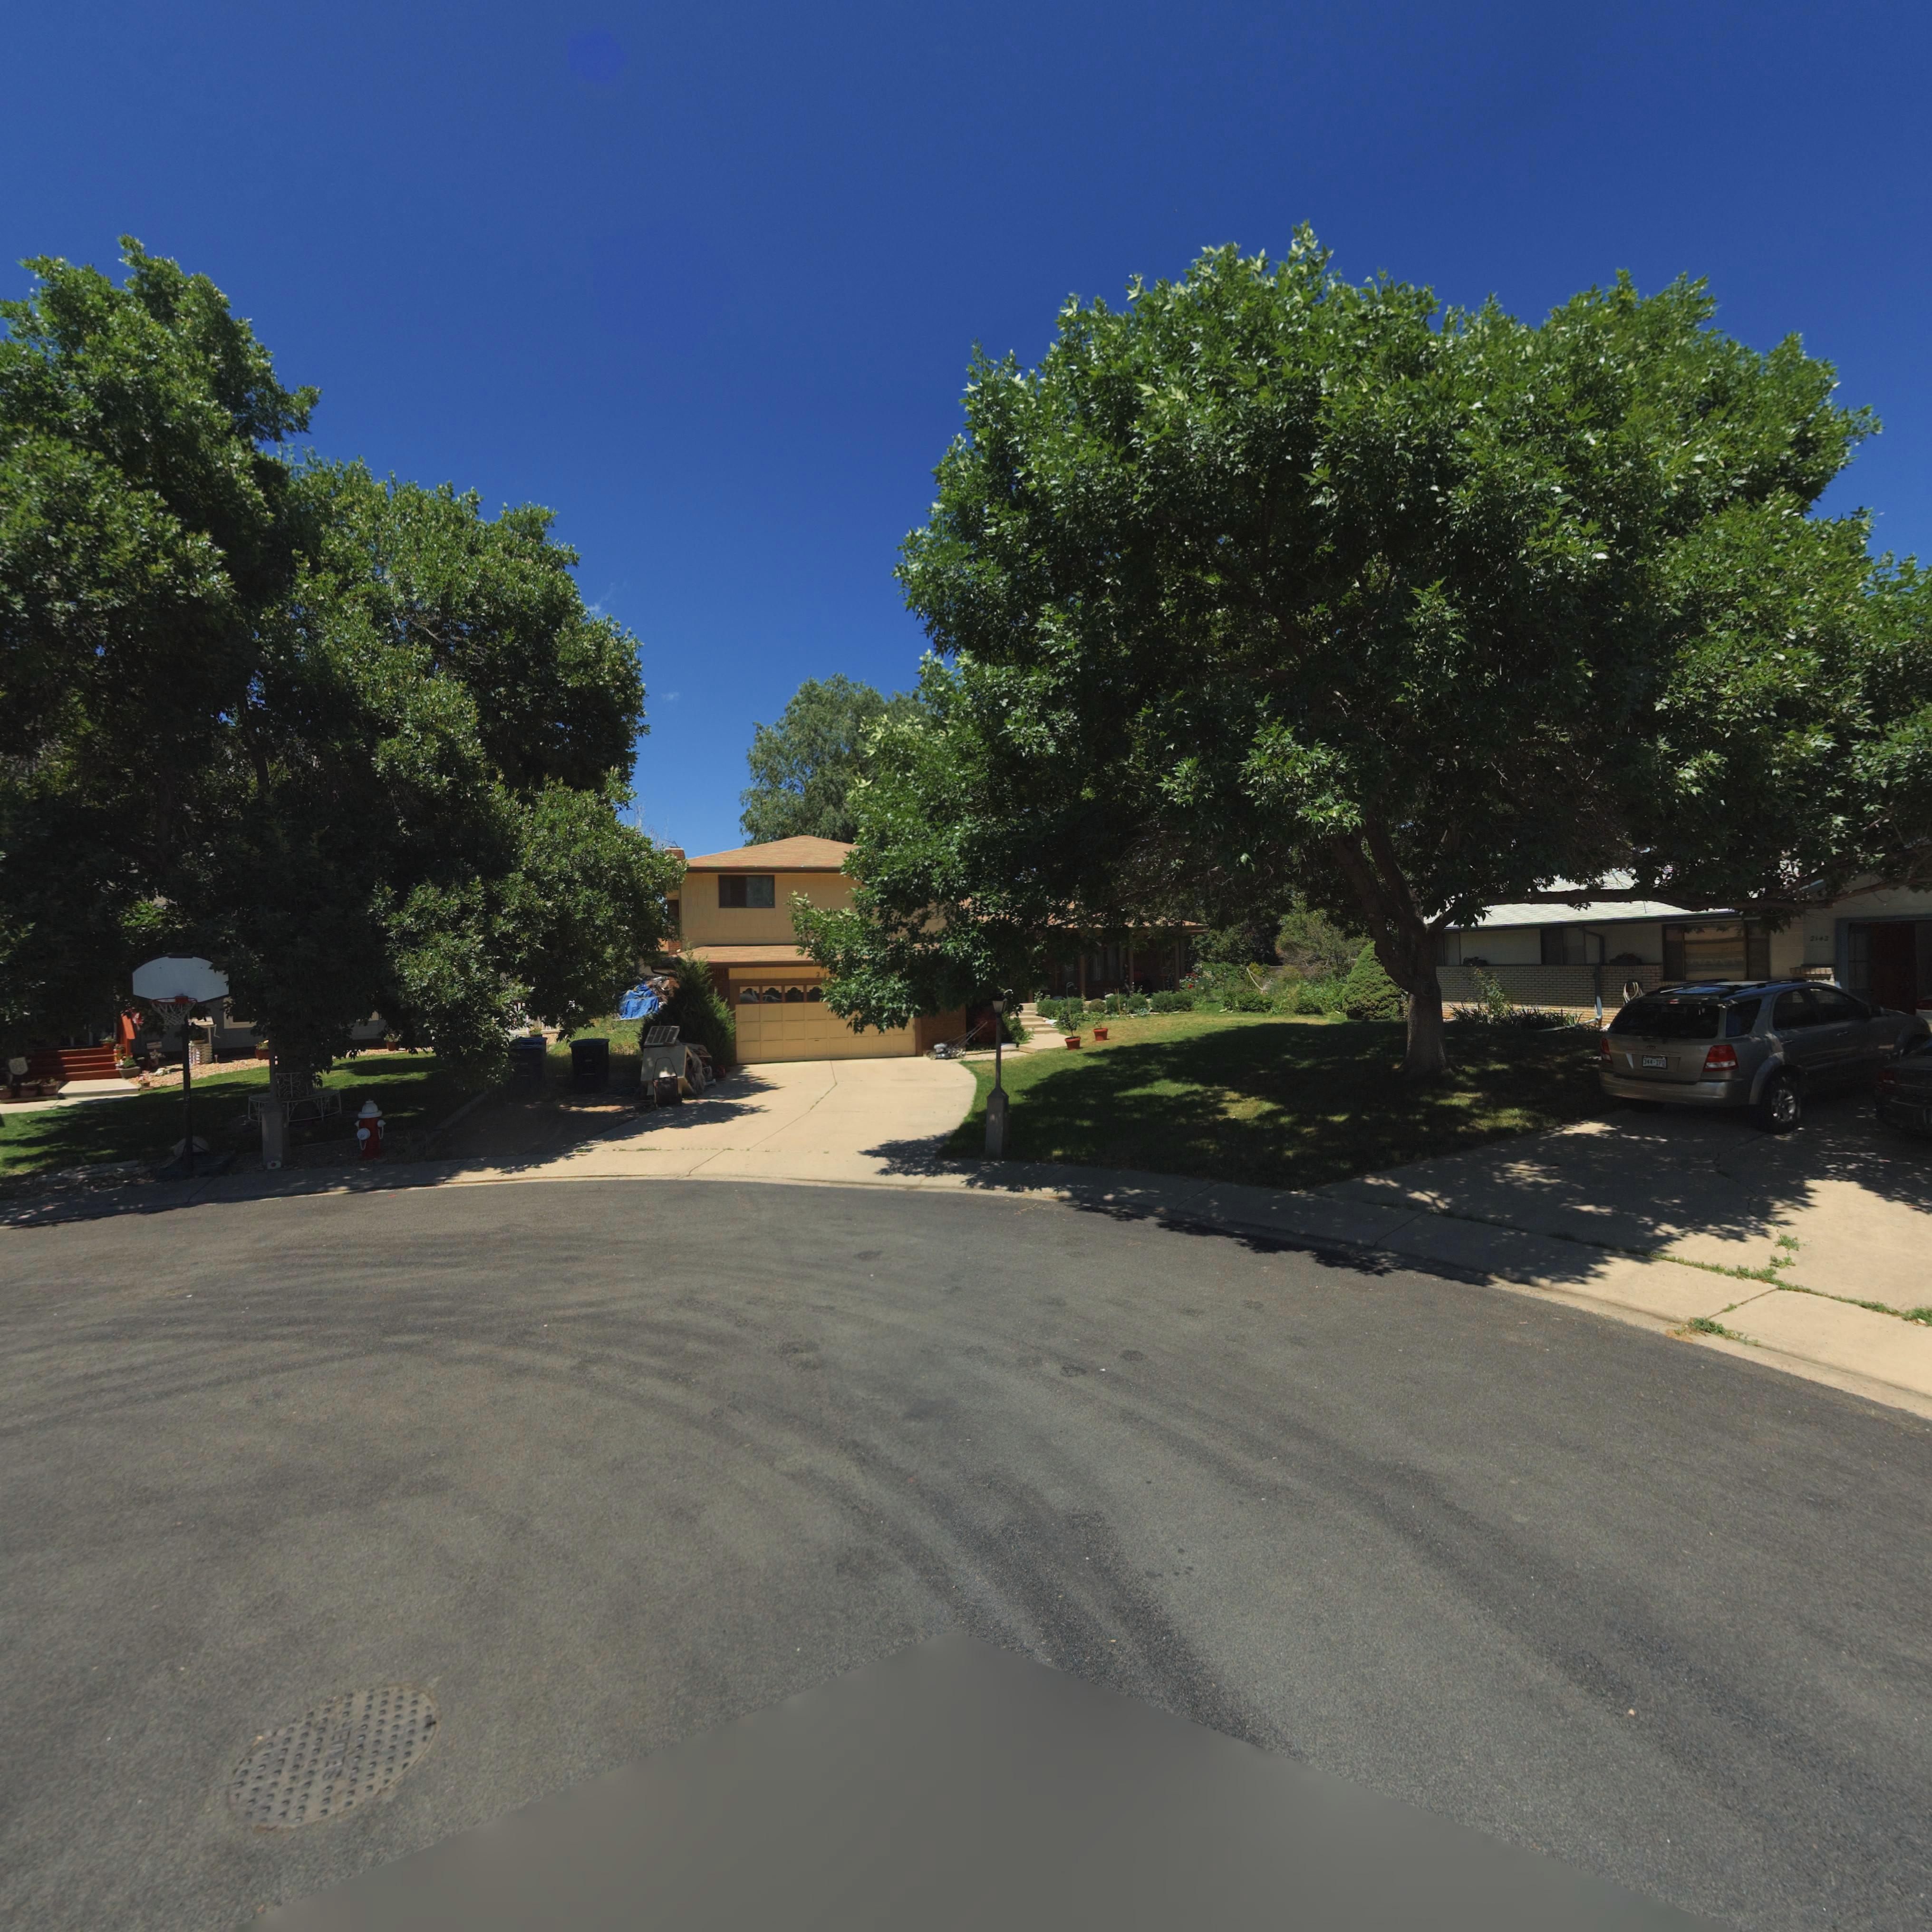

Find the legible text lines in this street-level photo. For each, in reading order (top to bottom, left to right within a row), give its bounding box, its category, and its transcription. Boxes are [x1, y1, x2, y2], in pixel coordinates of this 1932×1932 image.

[1808, 935, 1829, 942] StreetNumber: 214*
[816, 971, 835, 977] StreetNumber: 21*